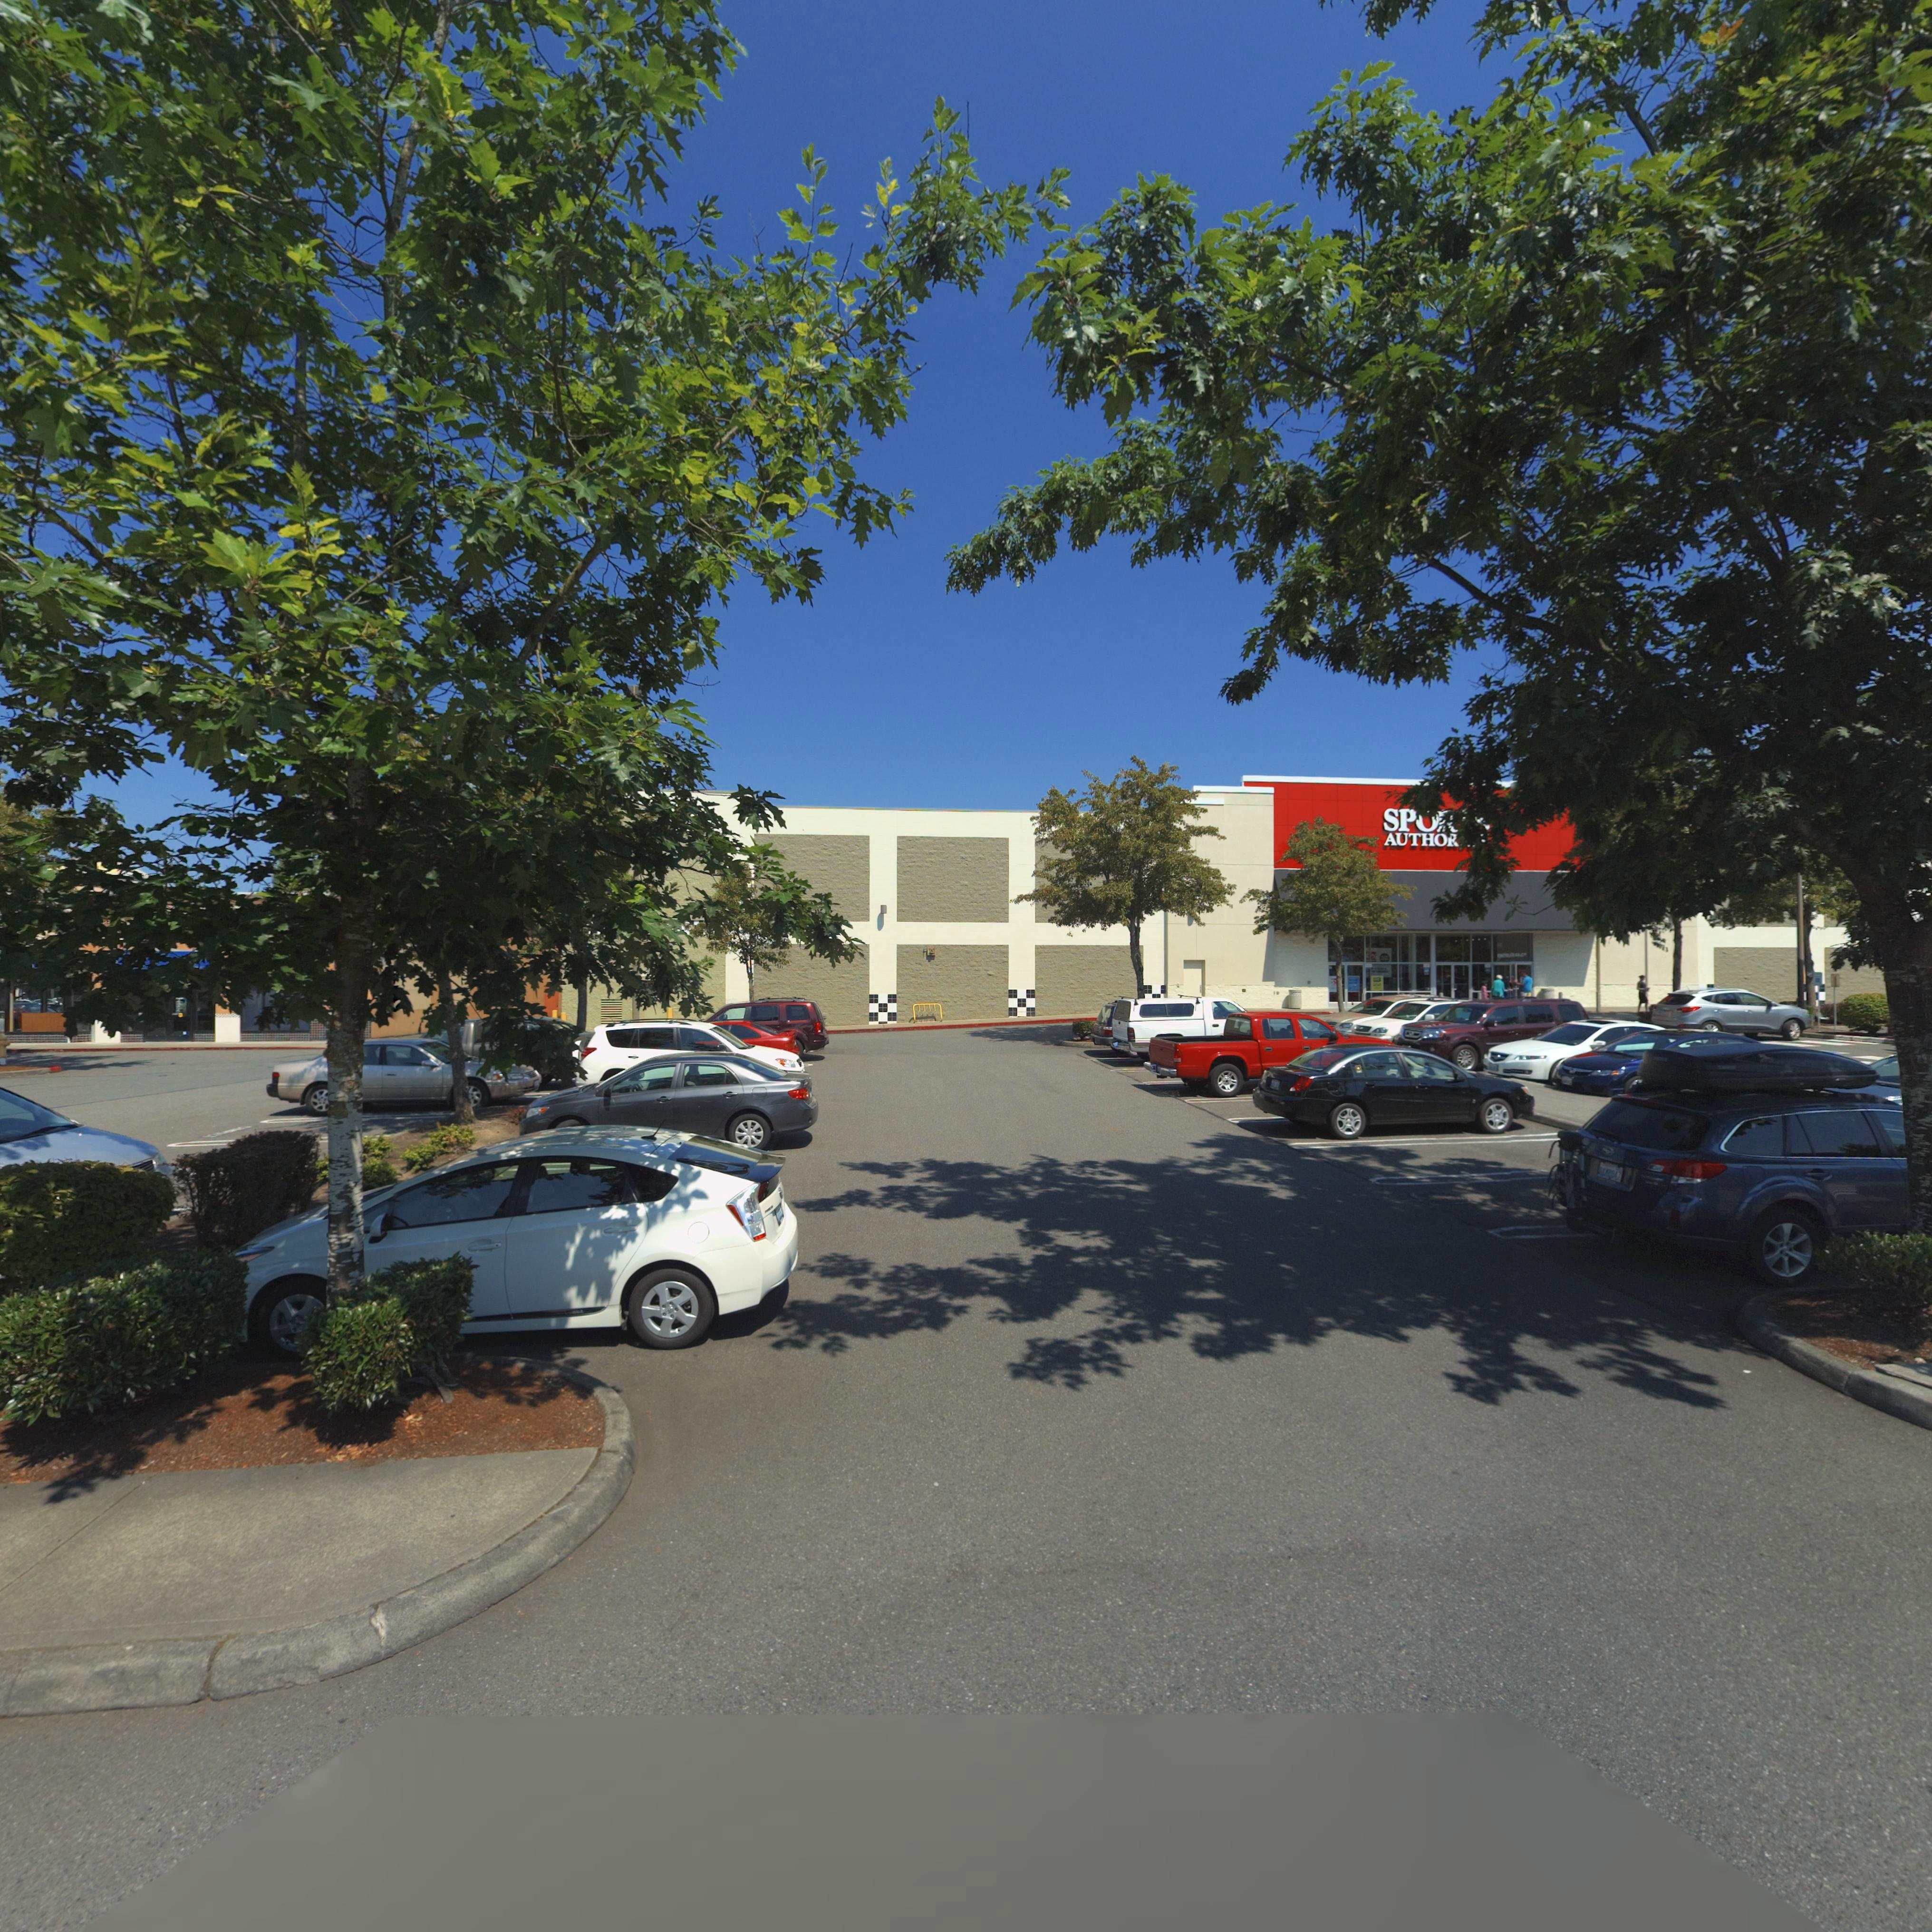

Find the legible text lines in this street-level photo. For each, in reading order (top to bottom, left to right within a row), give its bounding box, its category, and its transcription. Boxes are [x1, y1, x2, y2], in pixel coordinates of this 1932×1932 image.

[1383, 806, 1491, 832] BusinessName: SP****
[1383, 832, 1459, 847] BusinessName: AUTHOR***